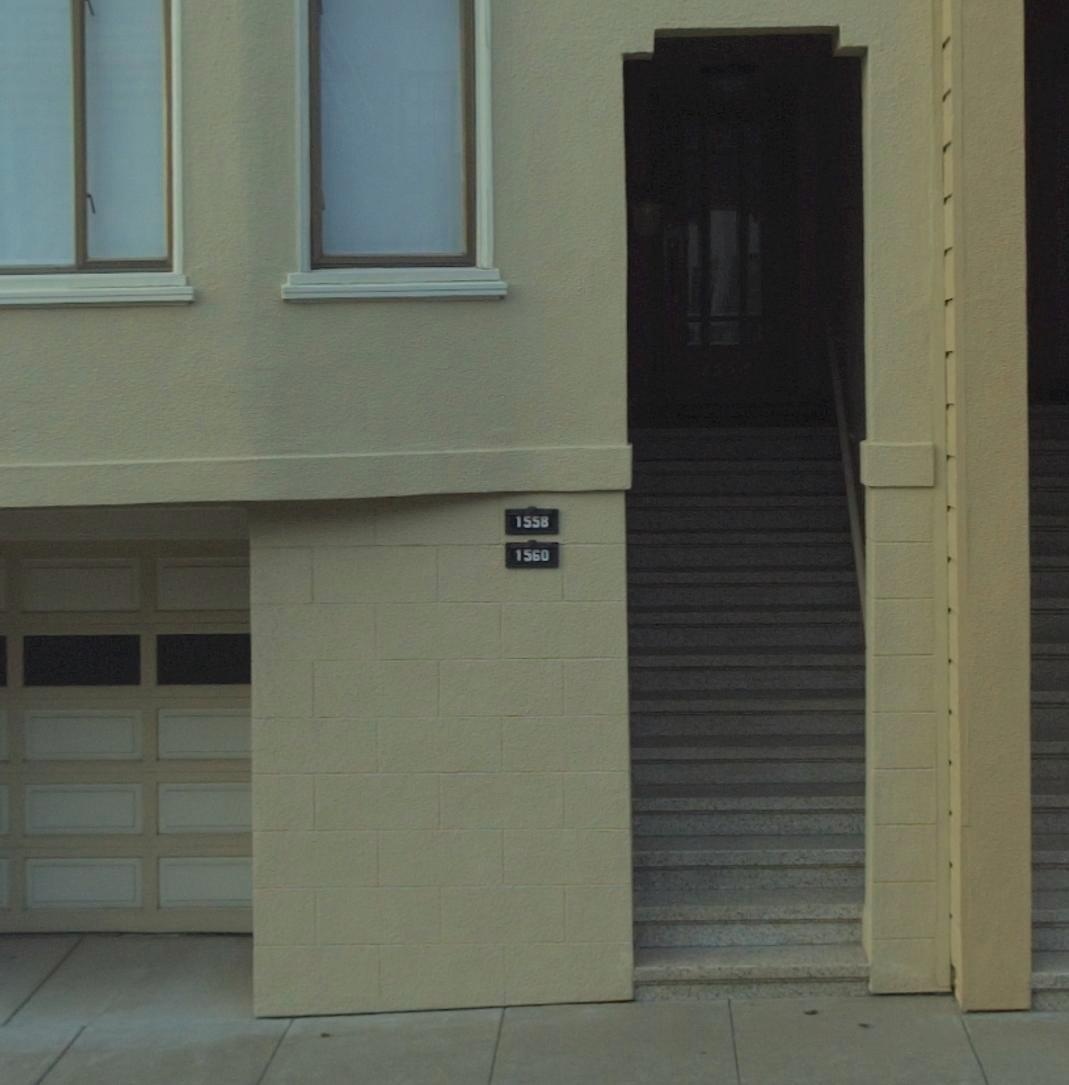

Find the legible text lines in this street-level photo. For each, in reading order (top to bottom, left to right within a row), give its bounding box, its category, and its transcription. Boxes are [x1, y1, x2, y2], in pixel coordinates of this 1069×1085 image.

[513, 513, 551, 531] StreetNumber: 1558
[513, 547, 552, 564] StreetNumber: 1560